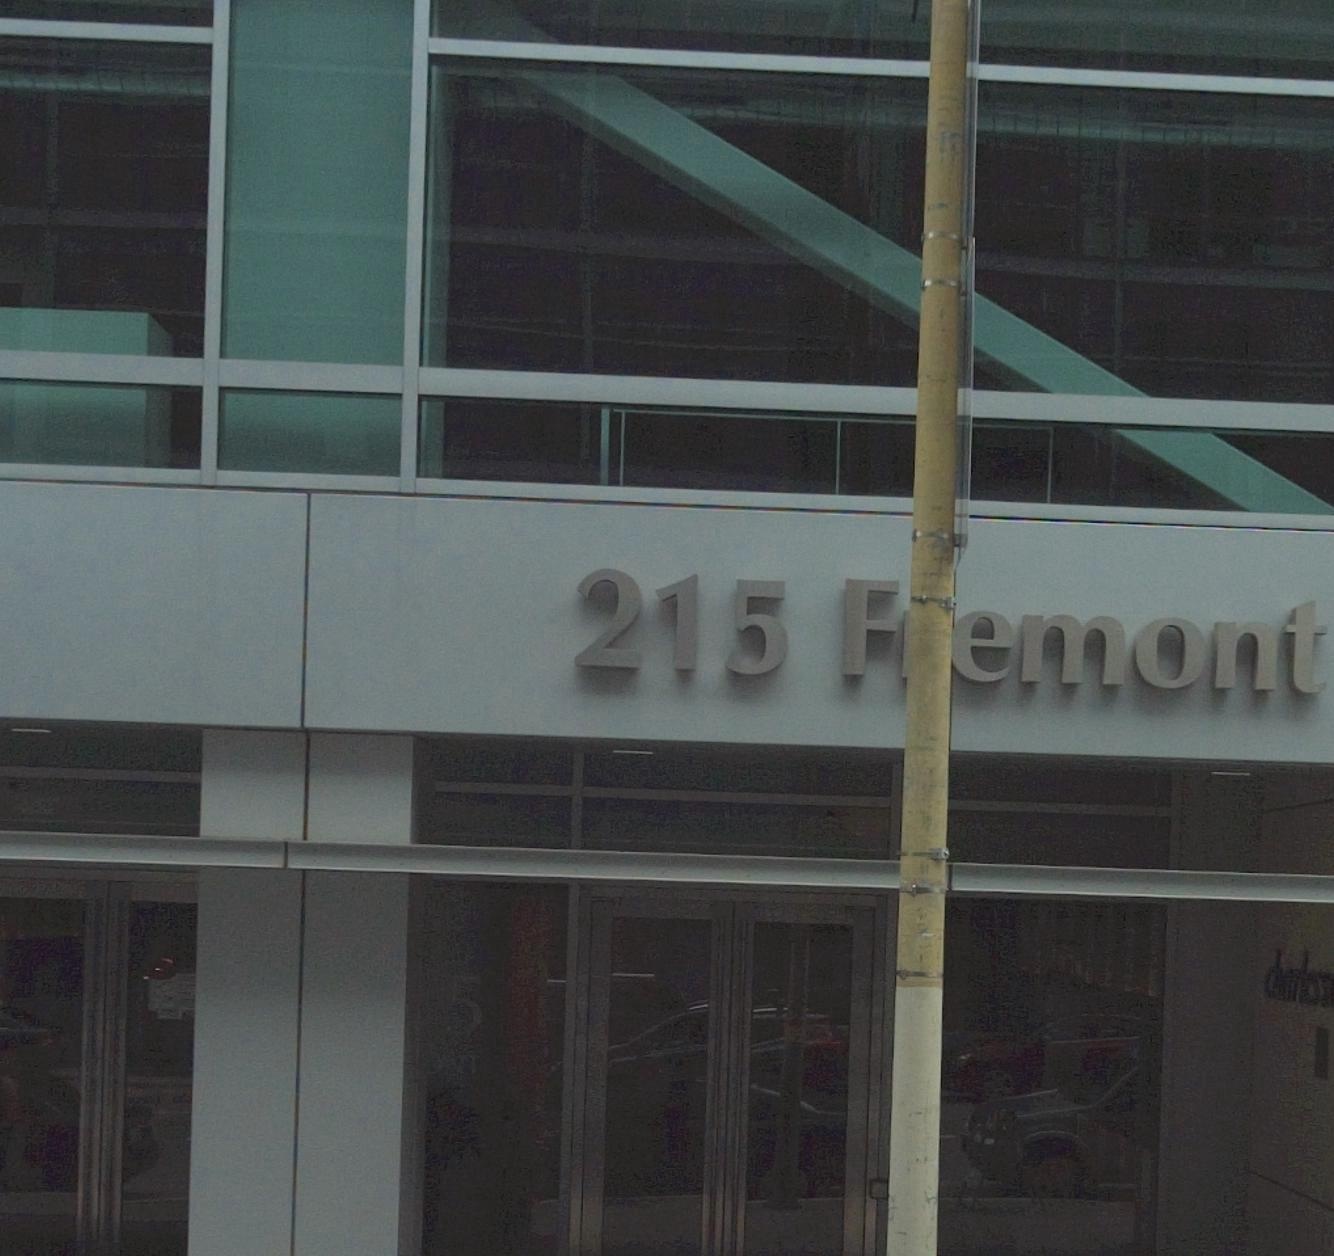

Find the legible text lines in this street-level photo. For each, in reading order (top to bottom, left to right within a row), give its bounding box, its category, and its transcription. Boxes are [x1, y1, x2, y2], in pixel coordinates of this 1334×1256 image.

[569, 564, 793, 681] StreetNumber: 215
[840, 573, 1333, 701] StreetName: F*emont